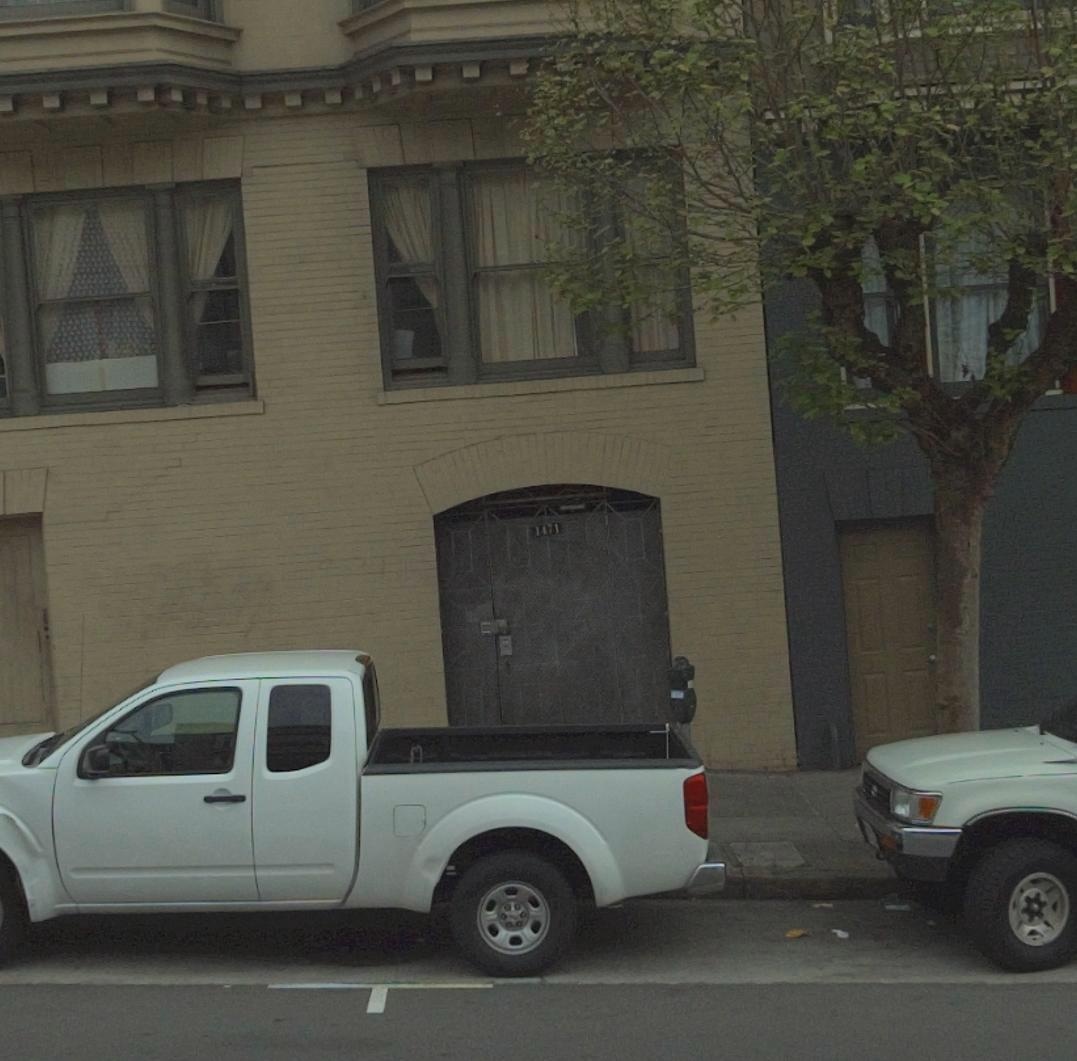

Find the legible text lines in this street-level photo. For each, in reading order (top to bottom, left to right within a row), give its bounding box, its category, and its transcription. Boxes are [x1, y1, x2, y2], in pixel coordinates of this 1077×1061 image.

[534, 521, 561, 538] StreetNumber: 1471